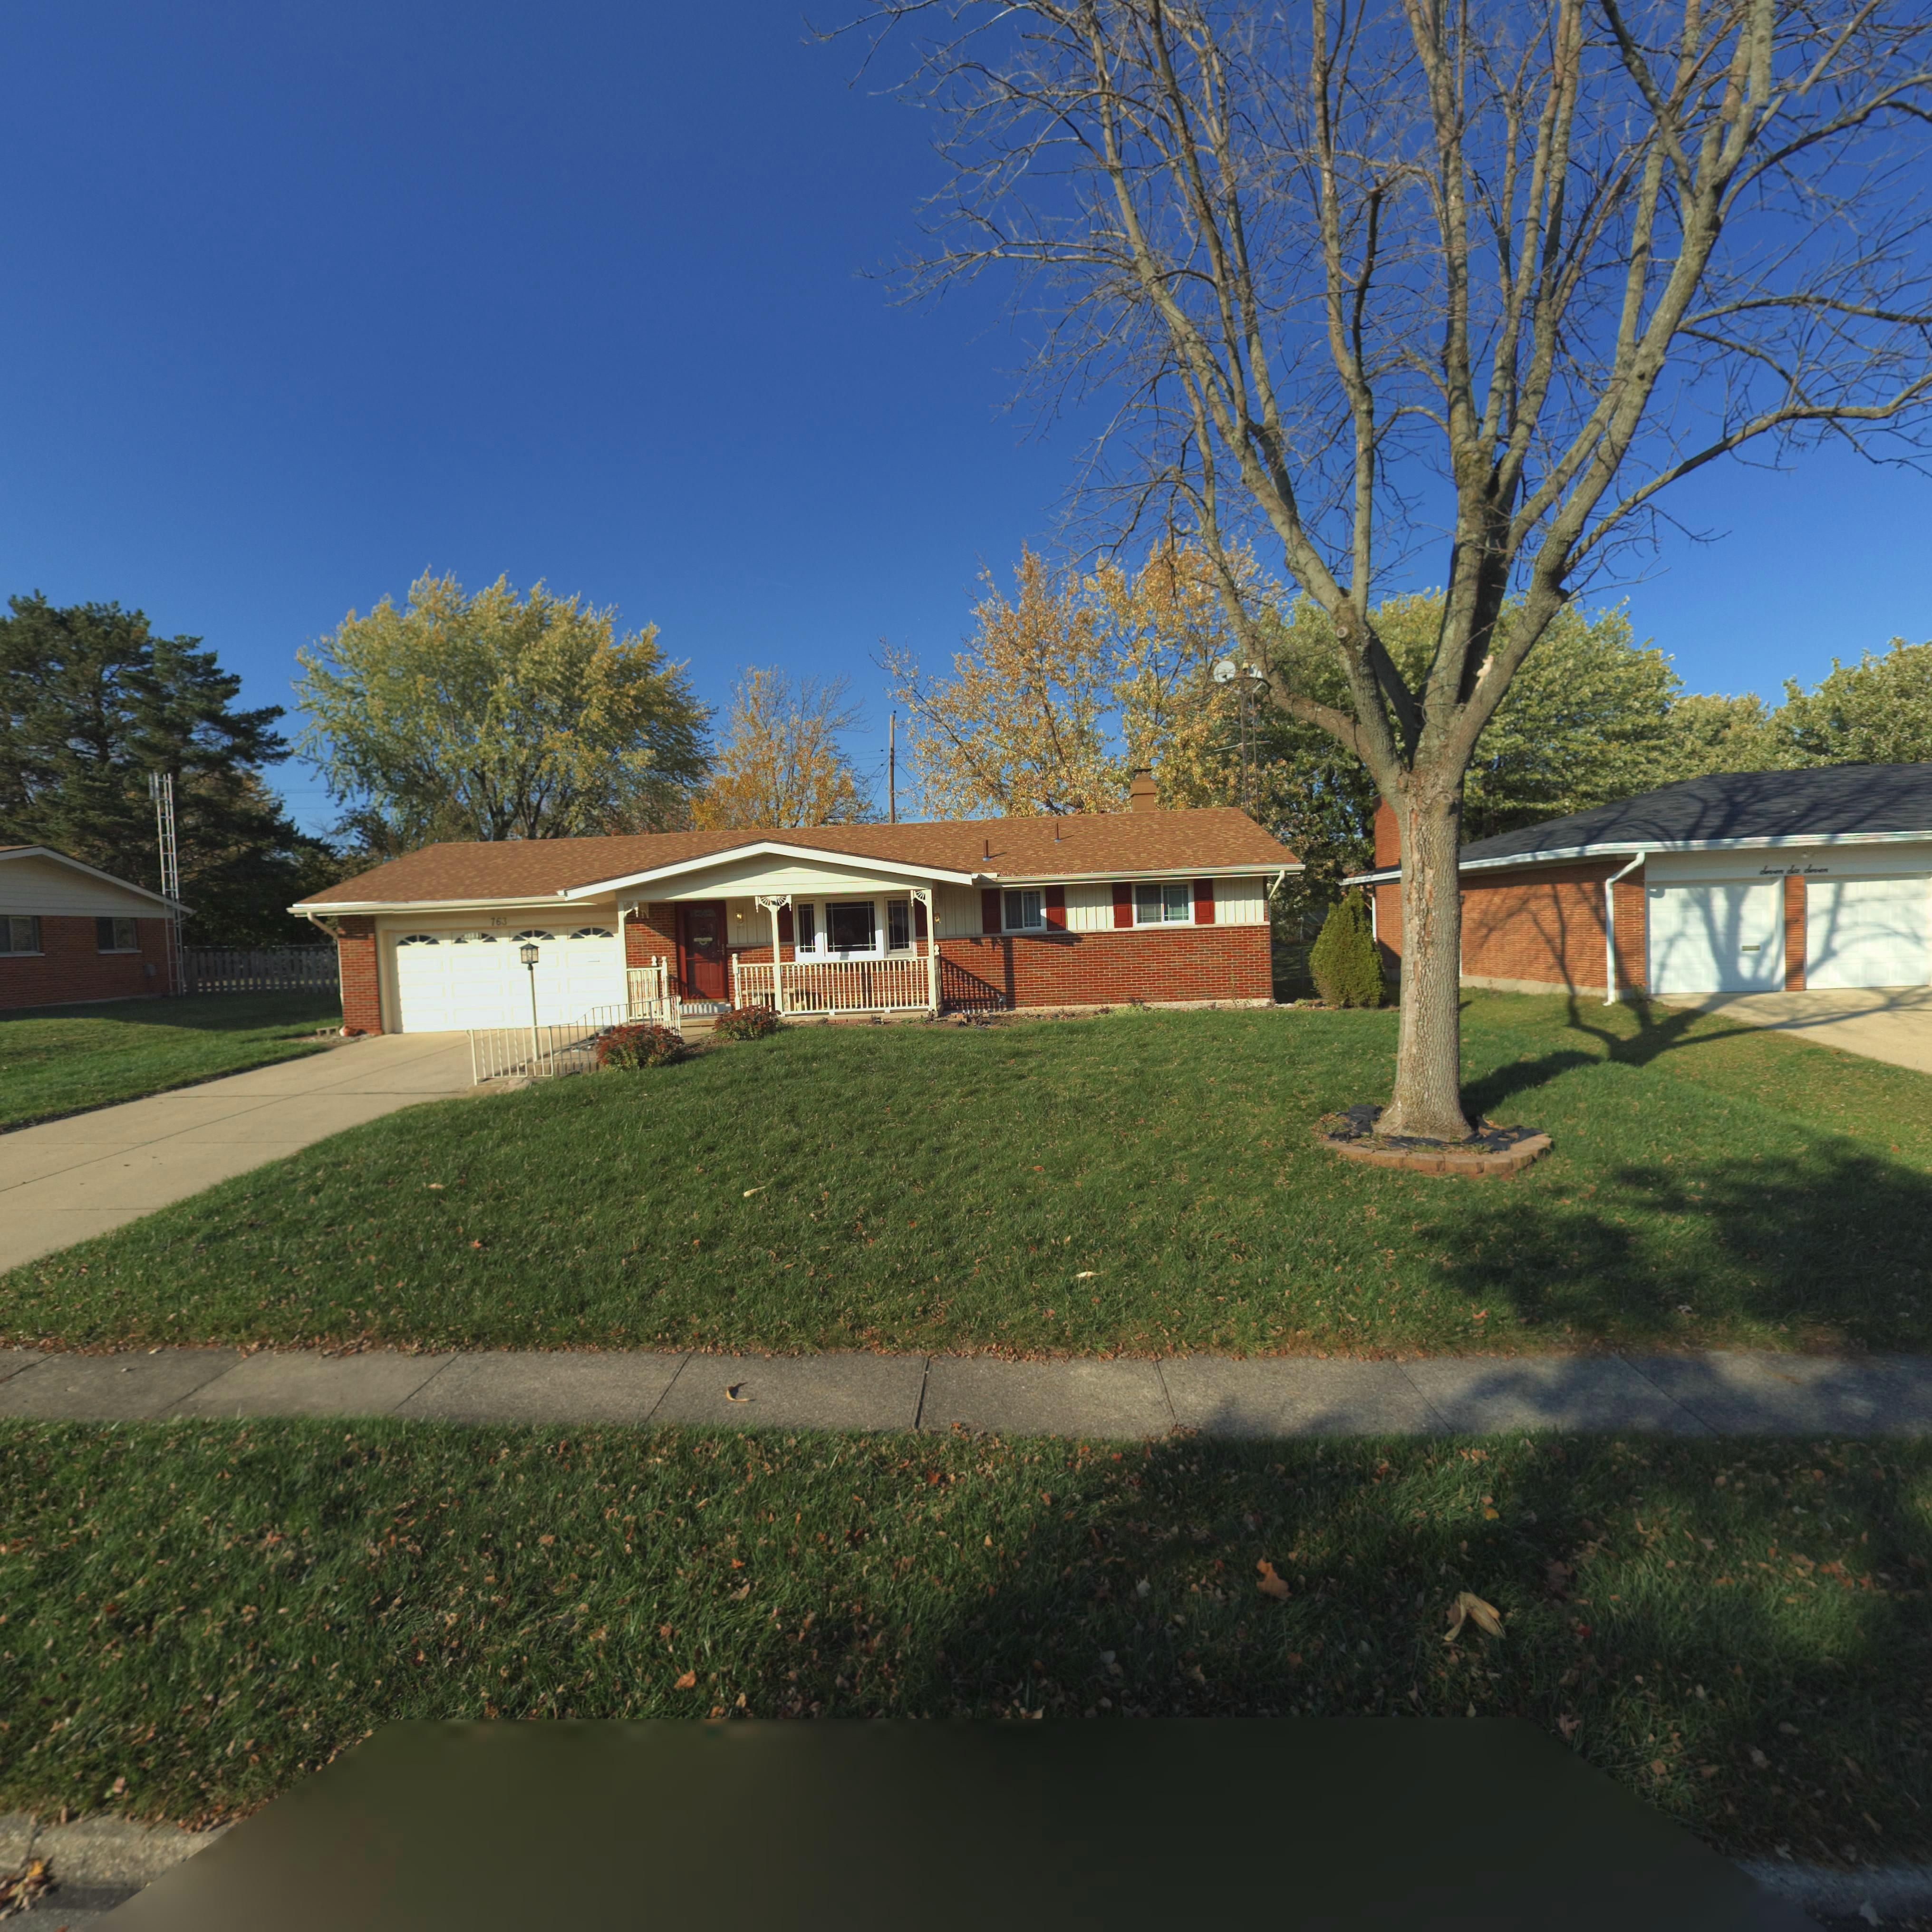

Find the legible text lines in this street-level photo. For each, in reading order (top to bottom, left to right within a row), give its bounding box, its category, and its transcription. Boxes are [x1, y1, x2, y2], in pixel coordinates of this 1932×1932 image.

[489, 917, 507, 927] StreetNumber: 763